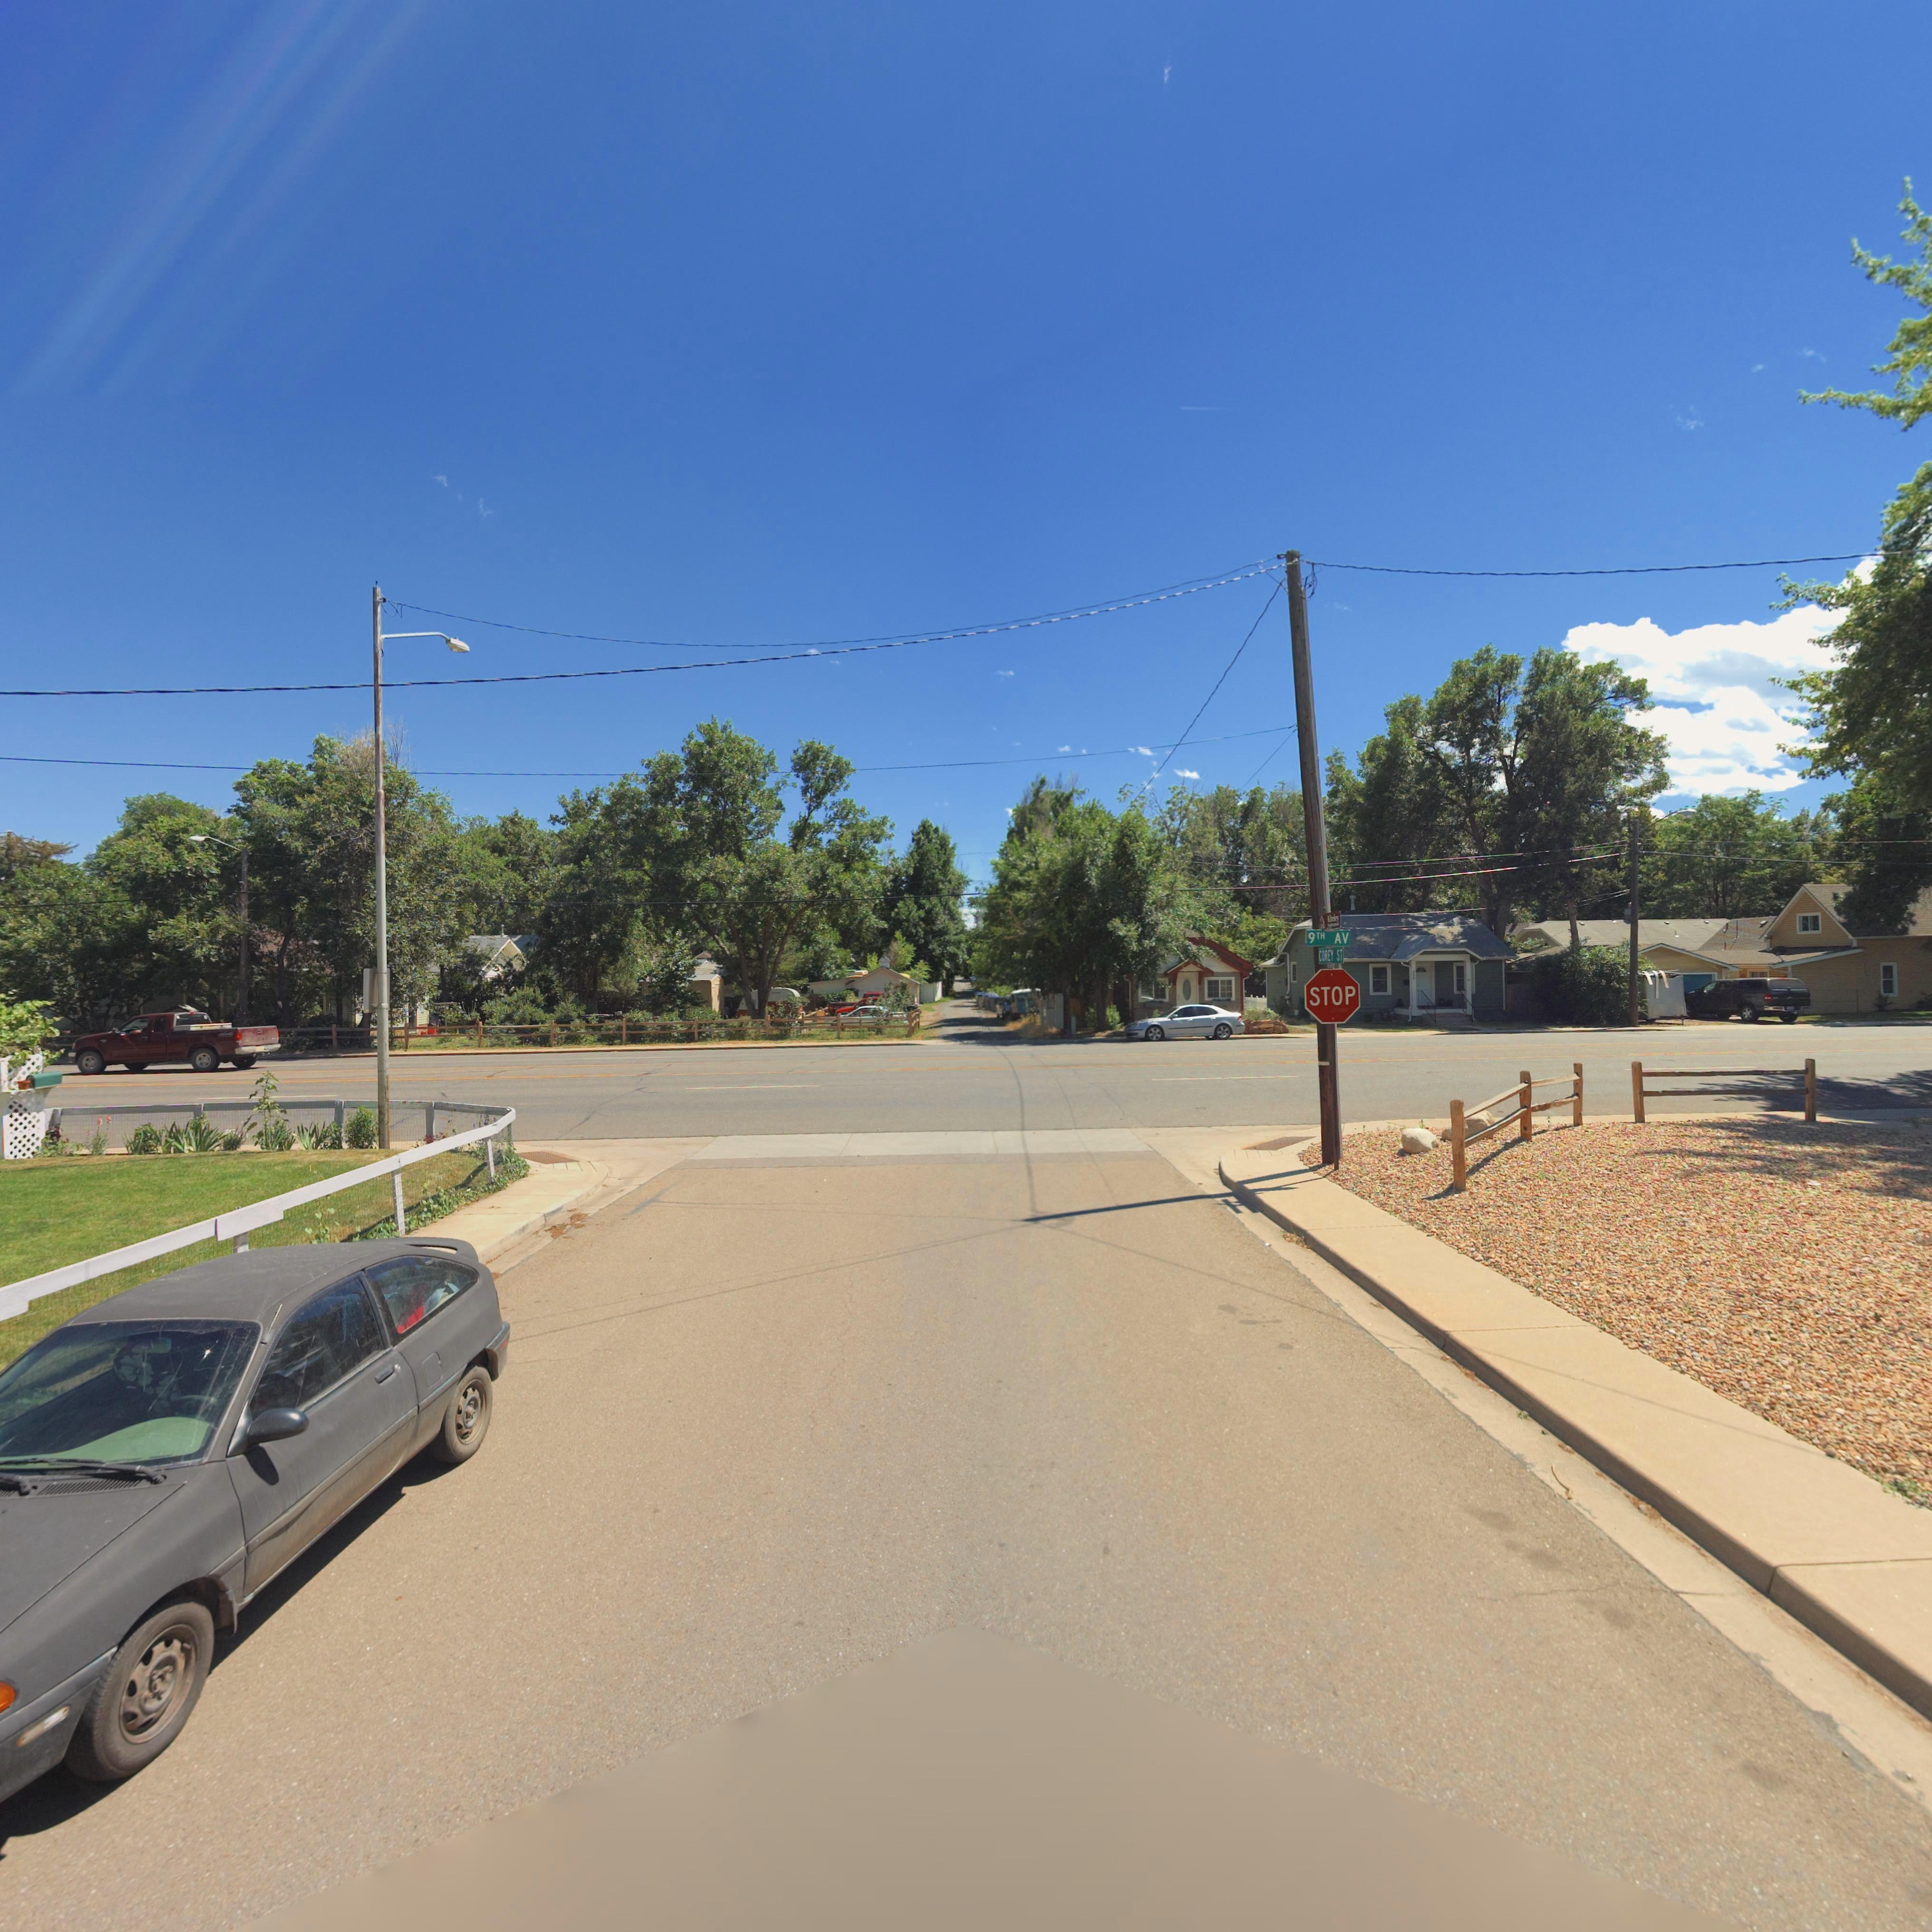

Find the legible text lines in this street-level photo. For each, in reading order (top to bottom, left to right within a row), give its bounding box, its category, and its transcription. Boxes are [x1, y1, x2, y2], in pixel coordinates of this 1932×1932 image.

[1308, 932, 1349, 944] StreetName: 9TH AV
[1318, 949, 1343, 962] StreetName: COREY ST
[1412, 970, 1414, 980] StreetNumber: *32